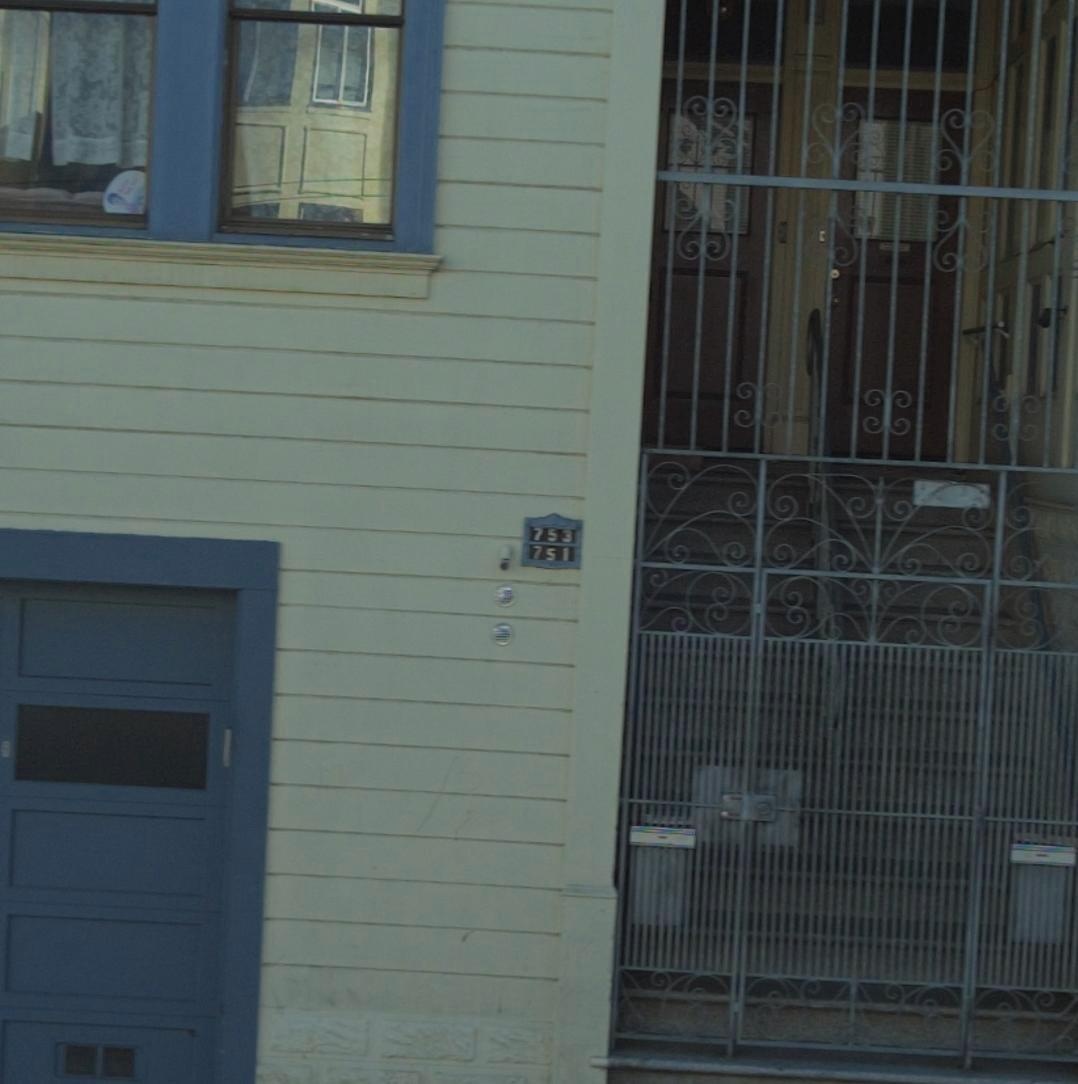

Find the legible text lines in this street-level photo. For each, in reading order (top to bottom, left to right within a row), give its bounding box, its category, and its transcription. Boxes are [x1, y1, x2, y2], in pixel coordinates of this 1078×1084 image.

[531, 526, 574, 545] StreetNumber: 753
[532, 544, 571, 563] StreetNumber: 751